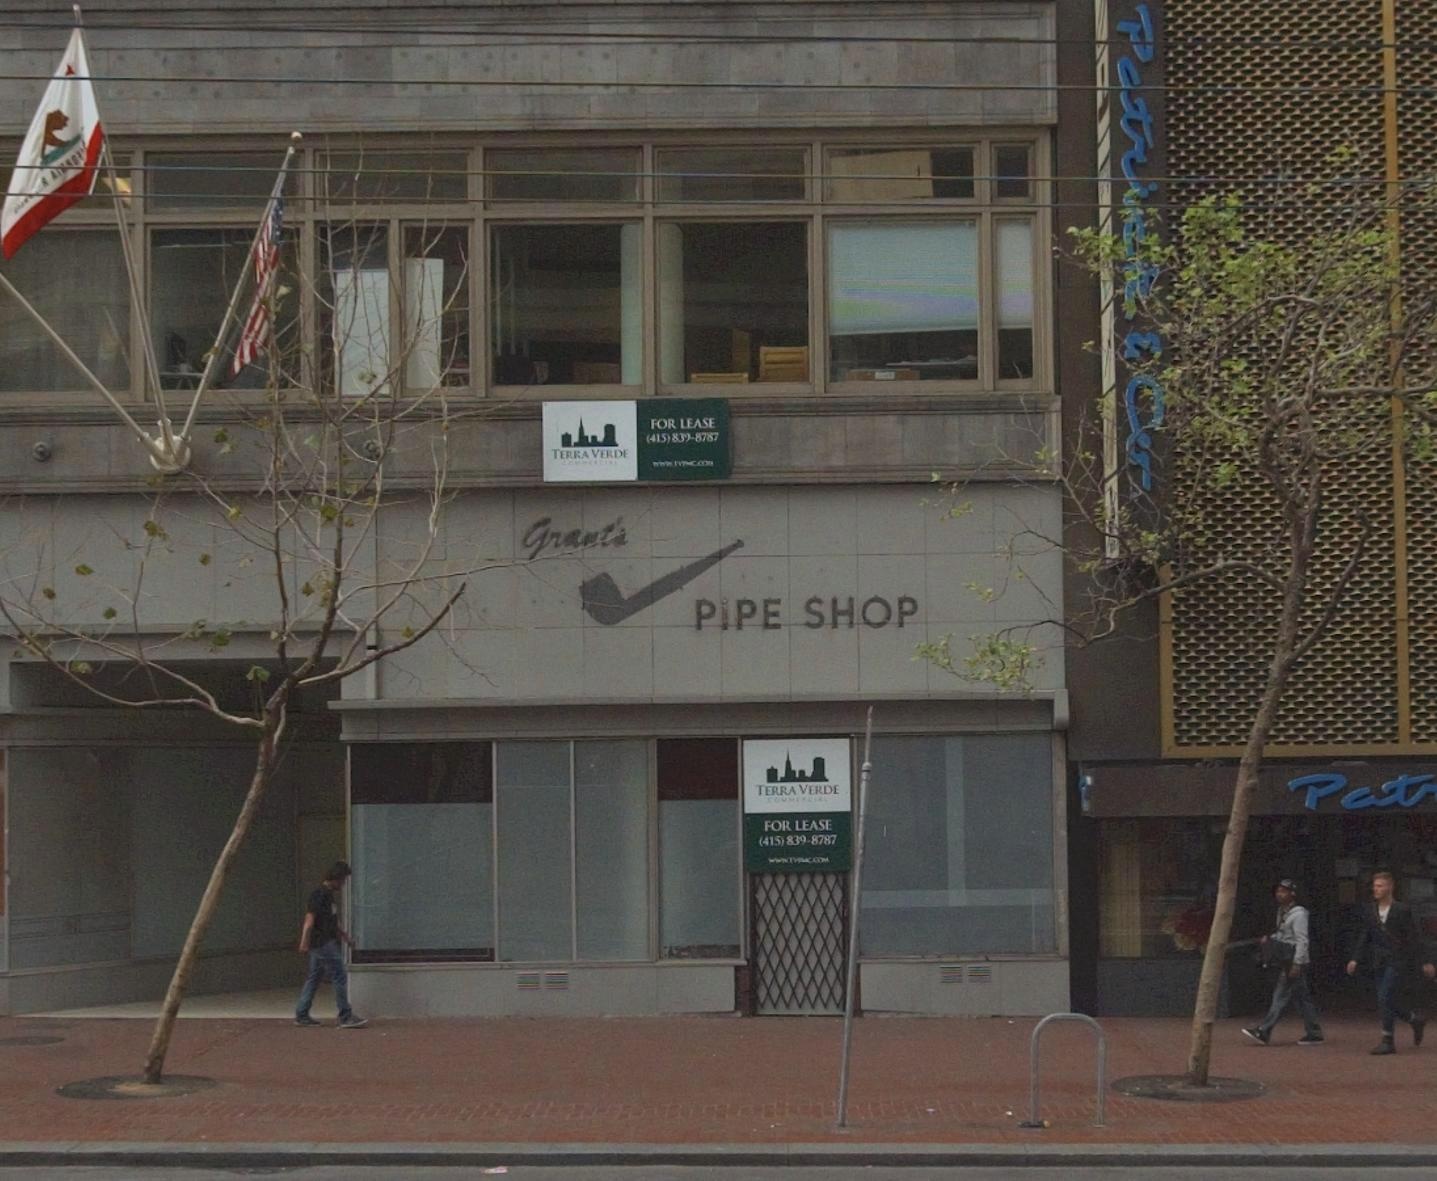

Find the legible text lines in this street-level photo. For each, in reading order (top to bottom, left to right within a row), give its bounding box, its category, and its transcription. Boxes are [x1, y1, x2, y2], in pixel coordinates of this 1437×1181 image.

[1109, 1, 1163, 184] BusinessName: Patr
[648, 414, 718, 432] None: FOR LEASE
[647, 429, 723, 445] None: 415)839-8787
[548, 445, 632, 462] None: TERRA VERDE
[518, 513, 630, 564] BusinessName: Grant's
[690, 593, 924, 635] BusinessName: PIPE SHOP
[752, 781, 843, 799] None: TERRA VERDE
[1279, 767, 1436, 815] BusinessName: Pat
[761, 815, 837, 835] None: FOR LEASE
[762, 832, 840, 849] None: 415)839-8787